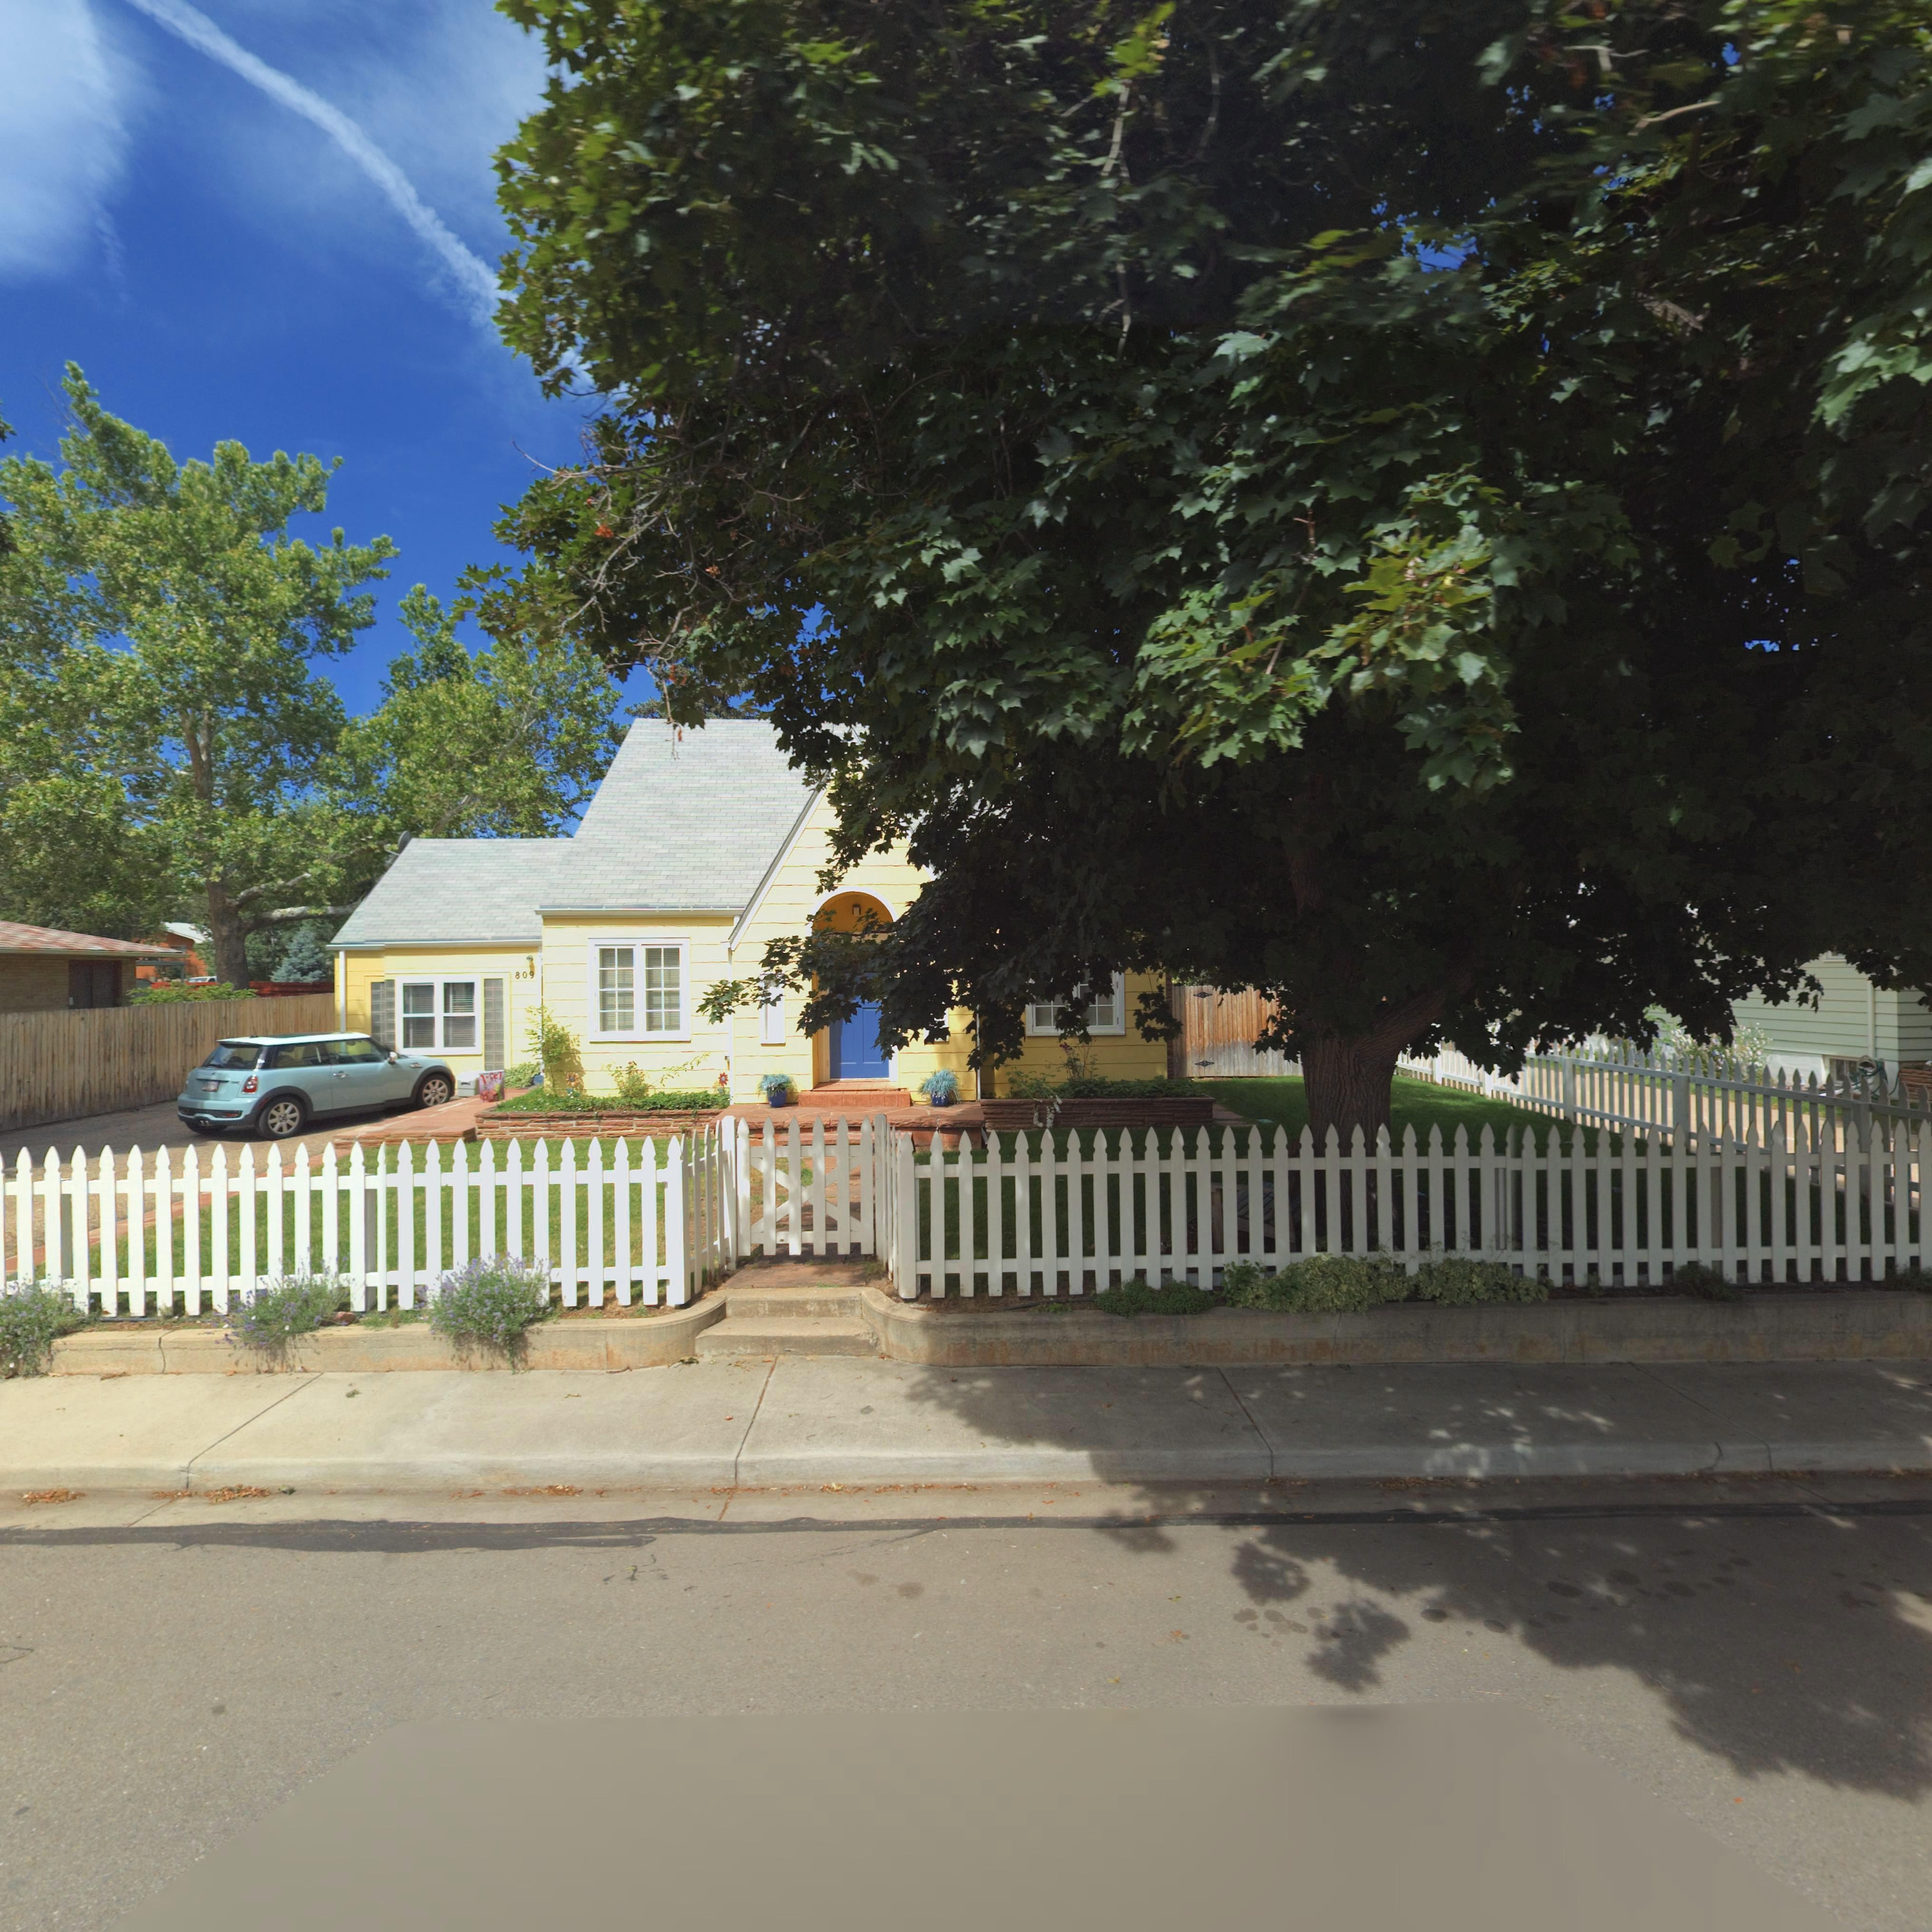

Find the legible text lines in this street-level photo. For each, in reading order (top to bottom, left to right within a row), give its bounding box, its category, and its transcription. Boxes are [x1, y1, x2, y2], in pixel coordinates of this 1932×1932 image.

[515, 970, 534, 979] StreetNumber: 809